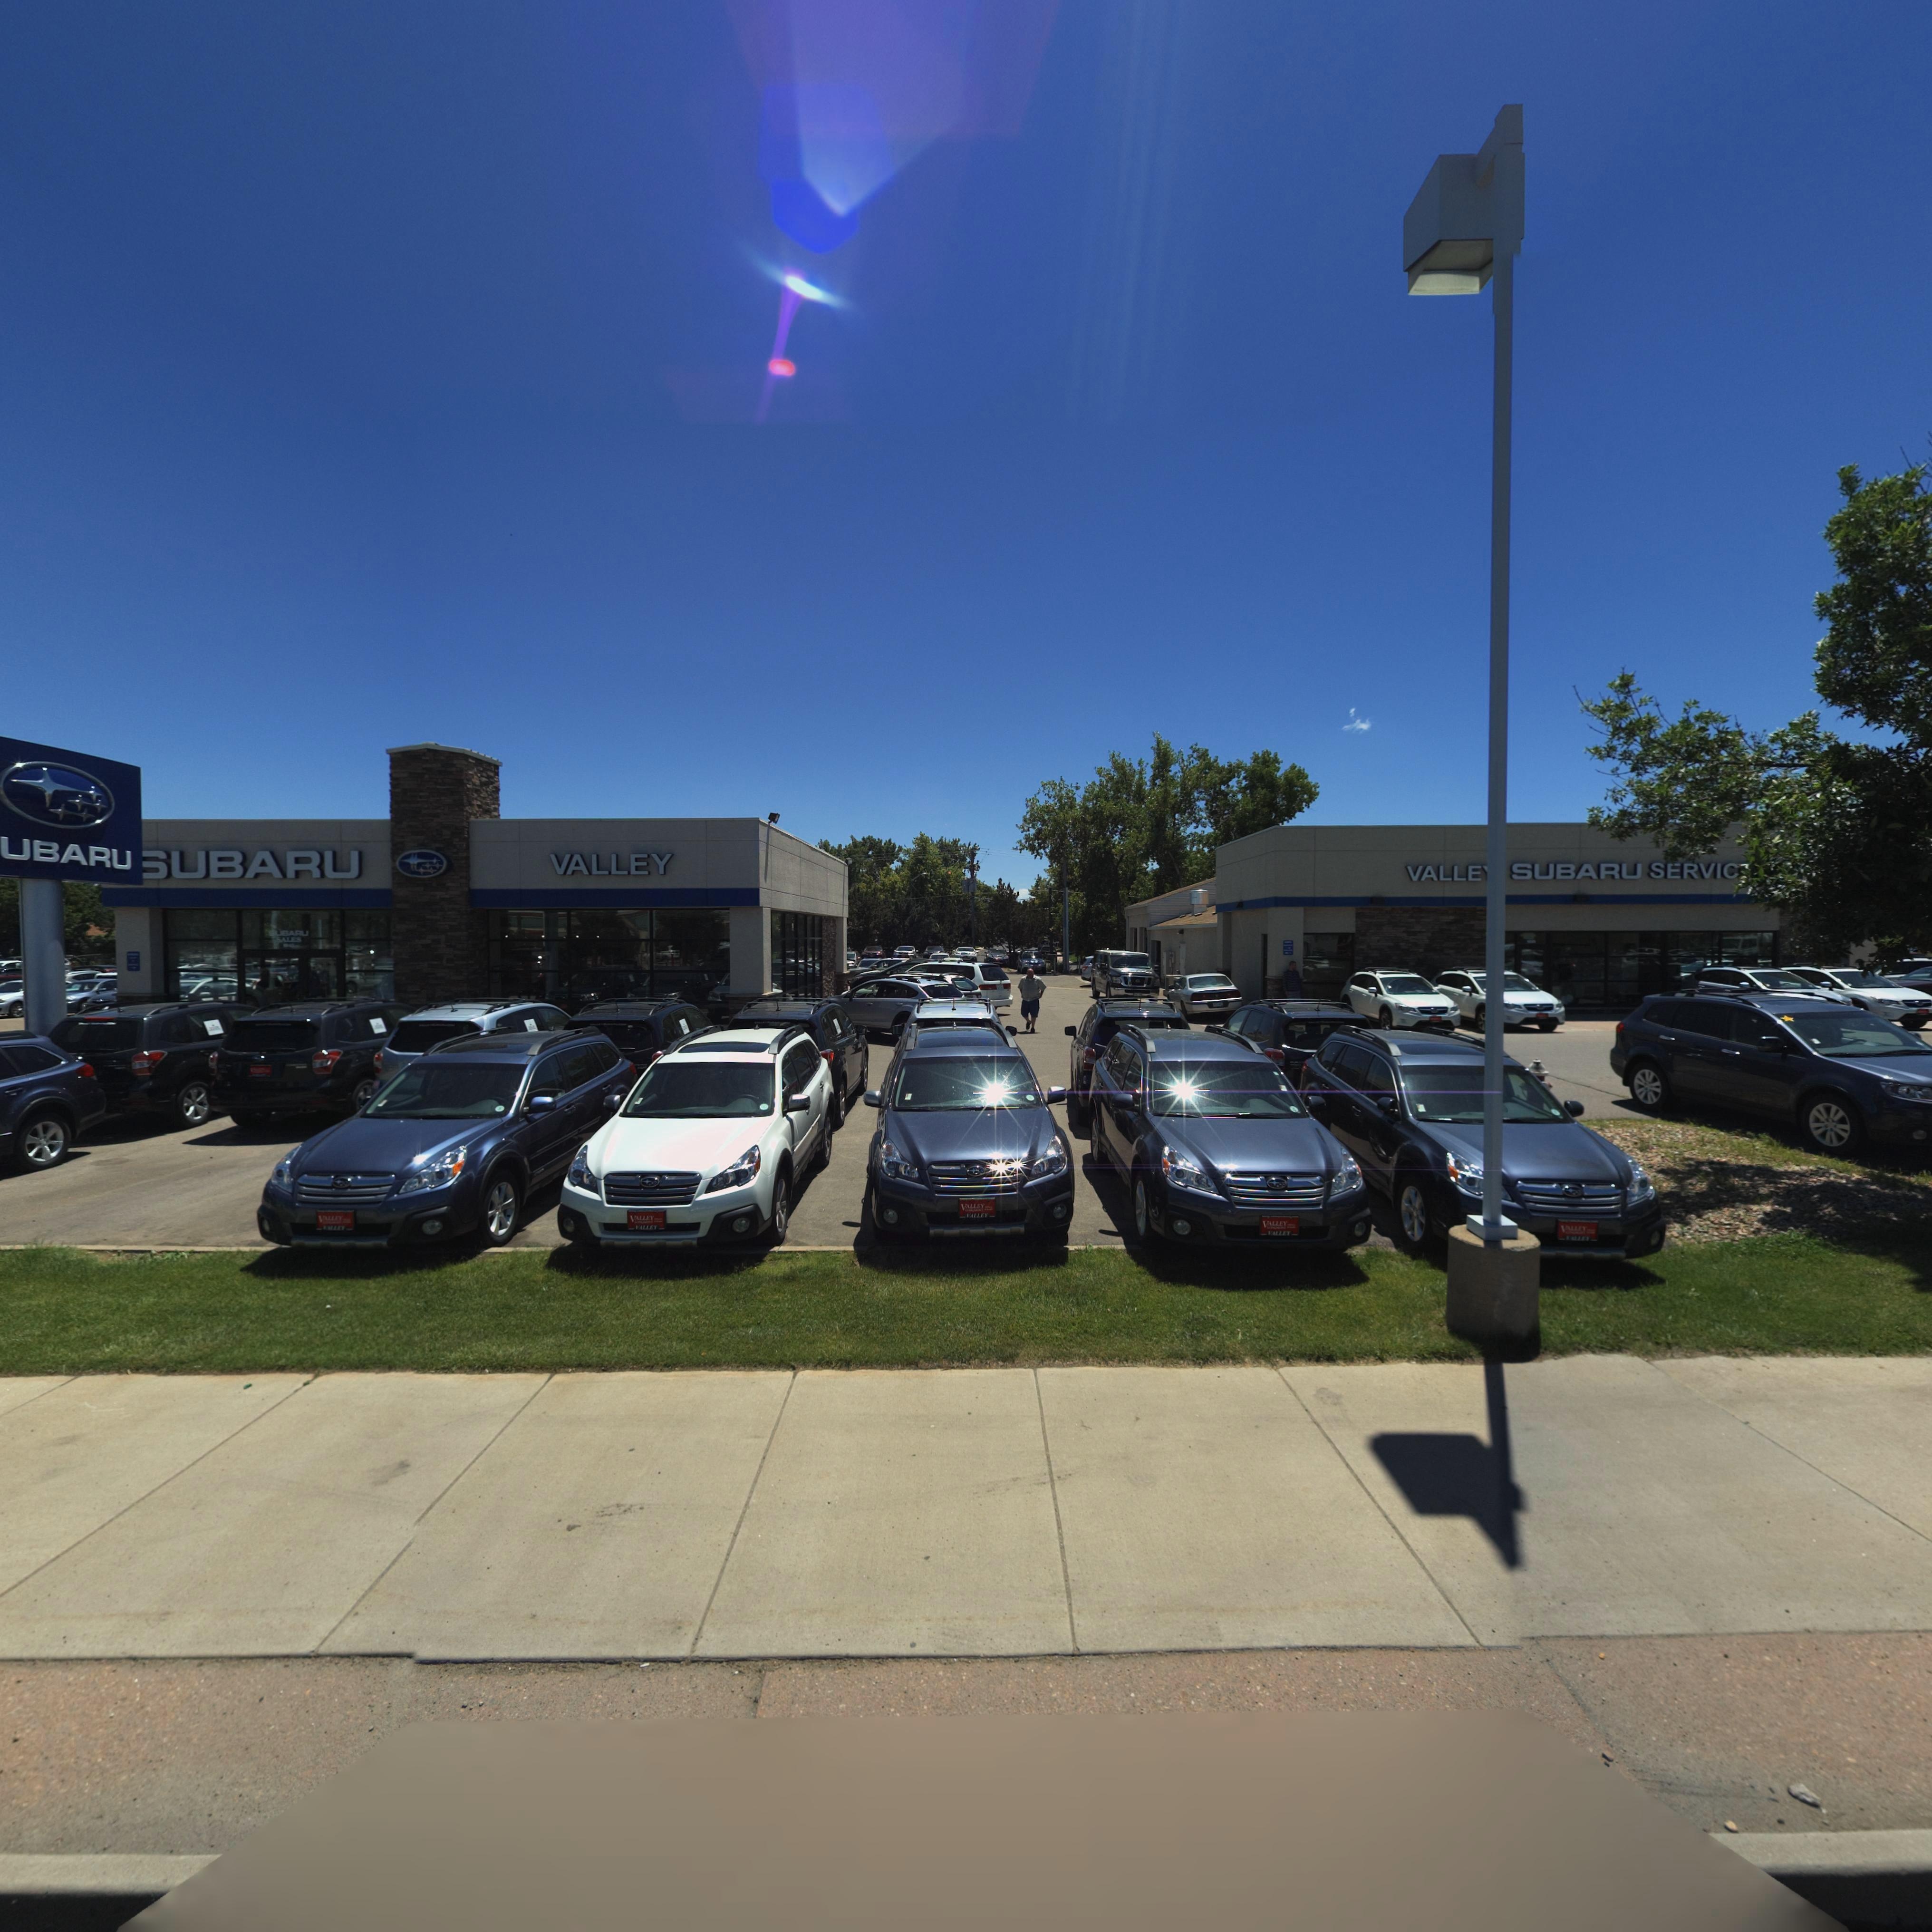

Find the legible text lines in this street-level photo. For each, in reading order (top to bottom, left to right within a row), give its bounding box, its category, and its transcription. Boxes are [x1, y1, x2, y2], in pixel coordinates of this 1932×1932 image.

[0, 836, 132, 871] BusinessName: UBARU
[142, 849, 360, 880] BusinessName: *UBARU
[548, 852, 674, 875] BusinessName: VALLEY
[268, 929, 309, 937] BusinessName: *UBARU